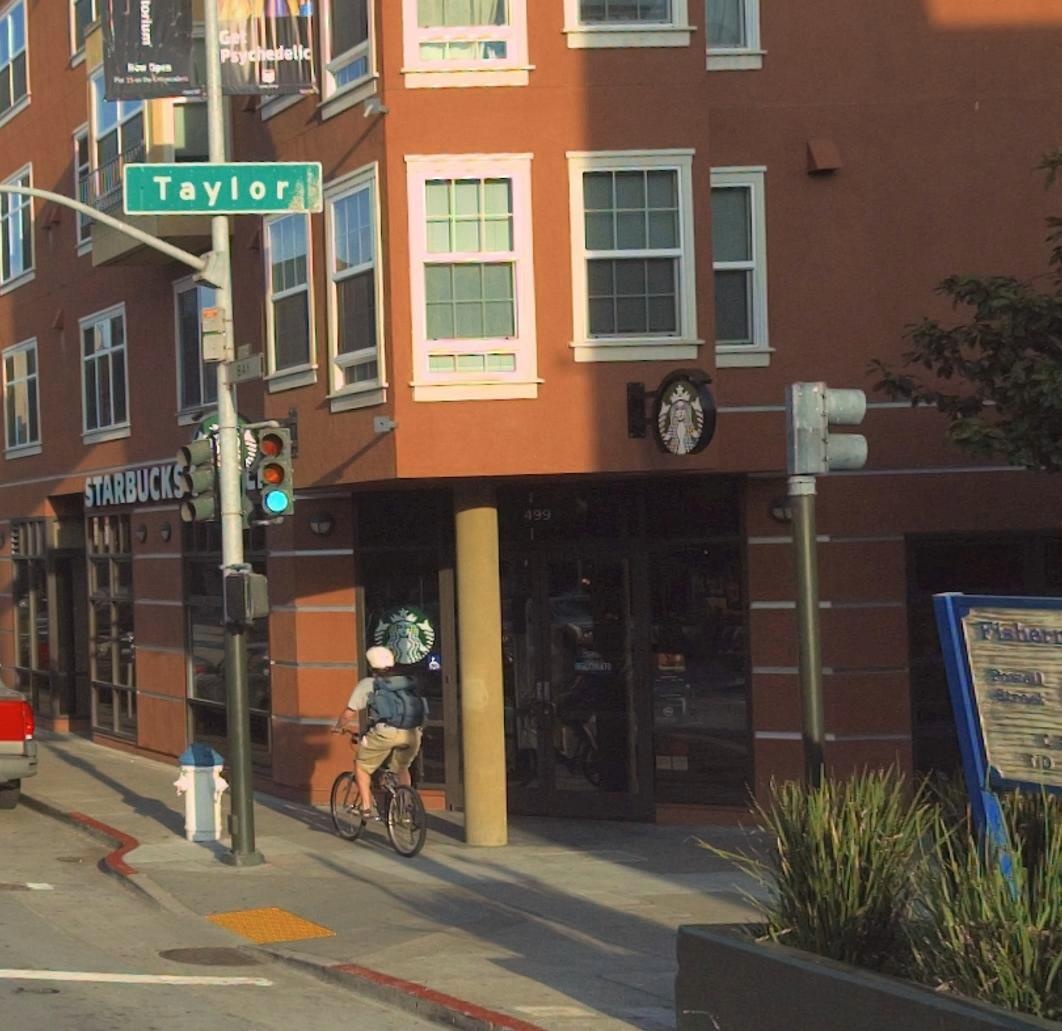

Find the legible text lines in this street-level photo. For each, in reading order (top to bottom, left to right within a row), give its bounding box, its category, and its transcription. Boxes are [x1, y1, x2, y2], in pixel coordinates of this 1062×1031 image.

[218, 29, 249, 45] None: Get
[218, 42, 313, 67] None: Psychedelic
[150, 173, 292, 207] StreetName: Taylor
[82, 459, 185, 510] BusinessName: STARBUCKS
[522, 507, 552, 524] StreetNumber: 499
[975, 620, 1053, 645] None: Fisher